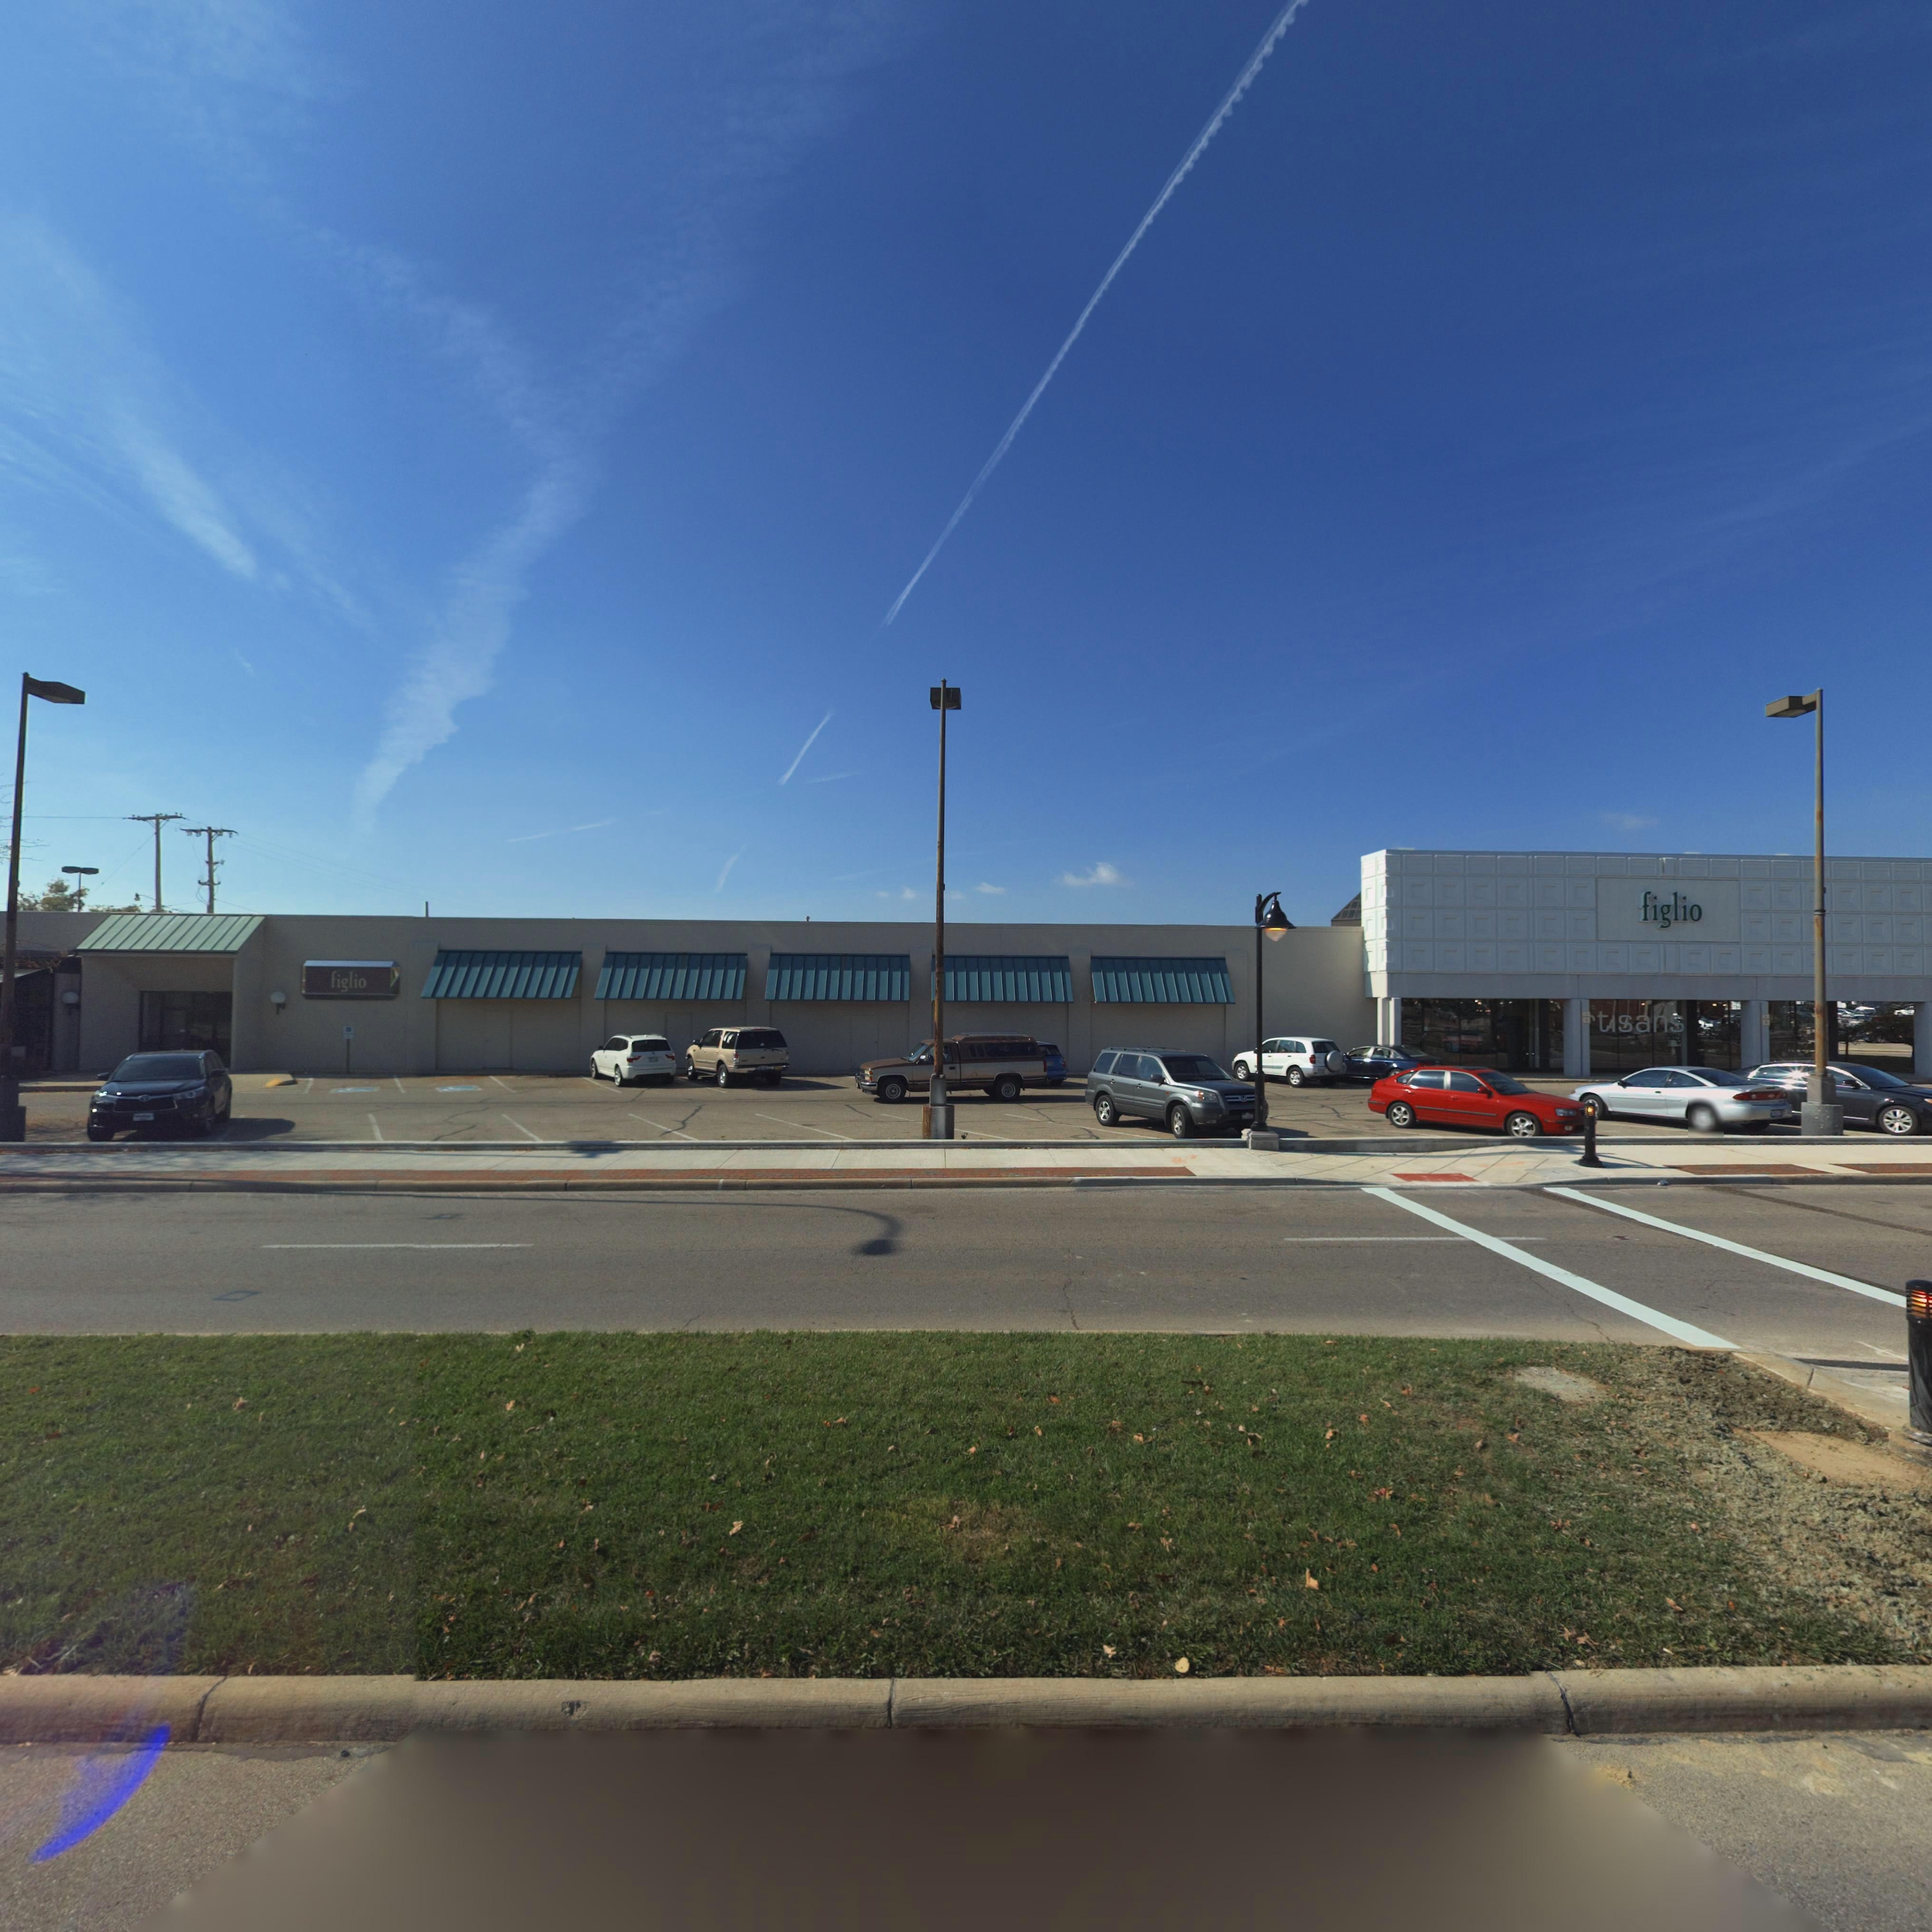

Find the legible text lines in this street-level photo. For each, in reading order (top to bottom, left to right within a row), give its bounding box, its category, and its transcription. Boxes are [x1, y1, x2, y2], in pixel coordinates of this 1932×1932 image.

[1642, 890, 1703, 929] BusinessName: figlio
[330, 970, 367, 992] BusinessName: figlio
[1596, 1010, 1685, 1033] None: tisans